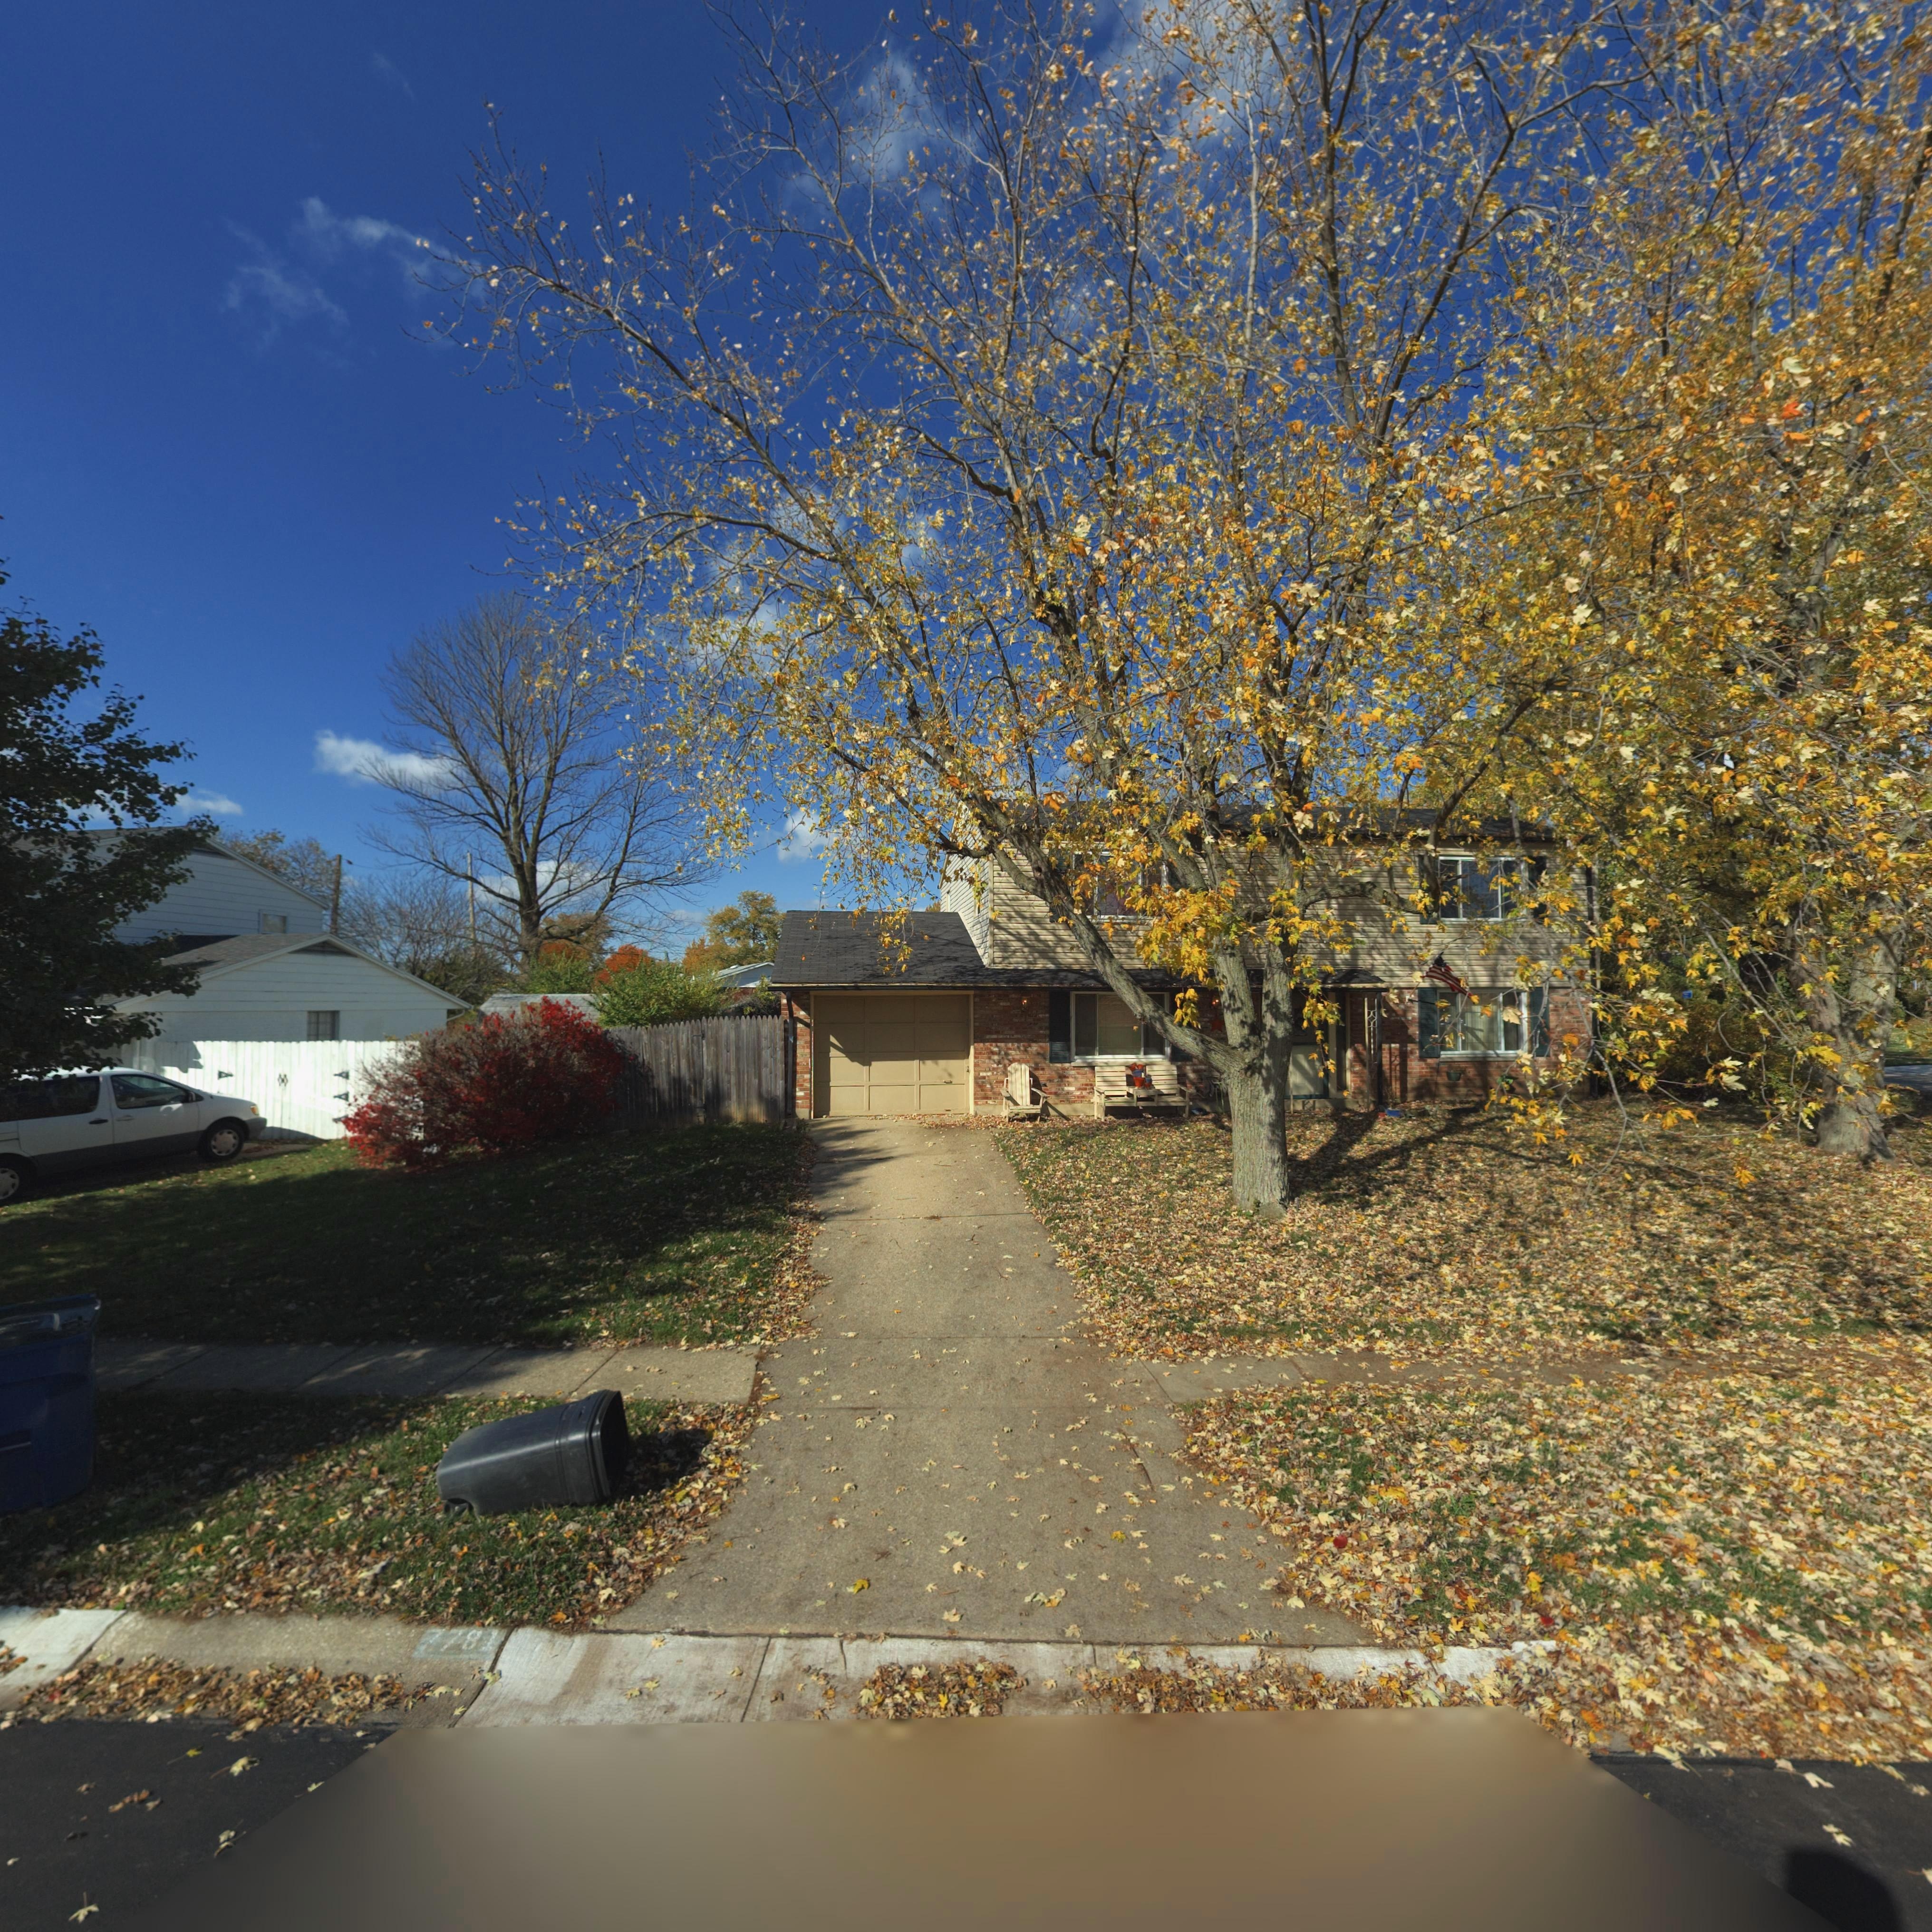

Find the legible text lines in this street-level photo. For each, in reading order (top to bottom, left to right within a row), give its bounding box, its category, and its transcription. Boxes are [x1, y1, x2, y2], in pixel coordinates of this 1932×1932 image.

[414, 1627, 502, 1653] StreetNumber: 7781